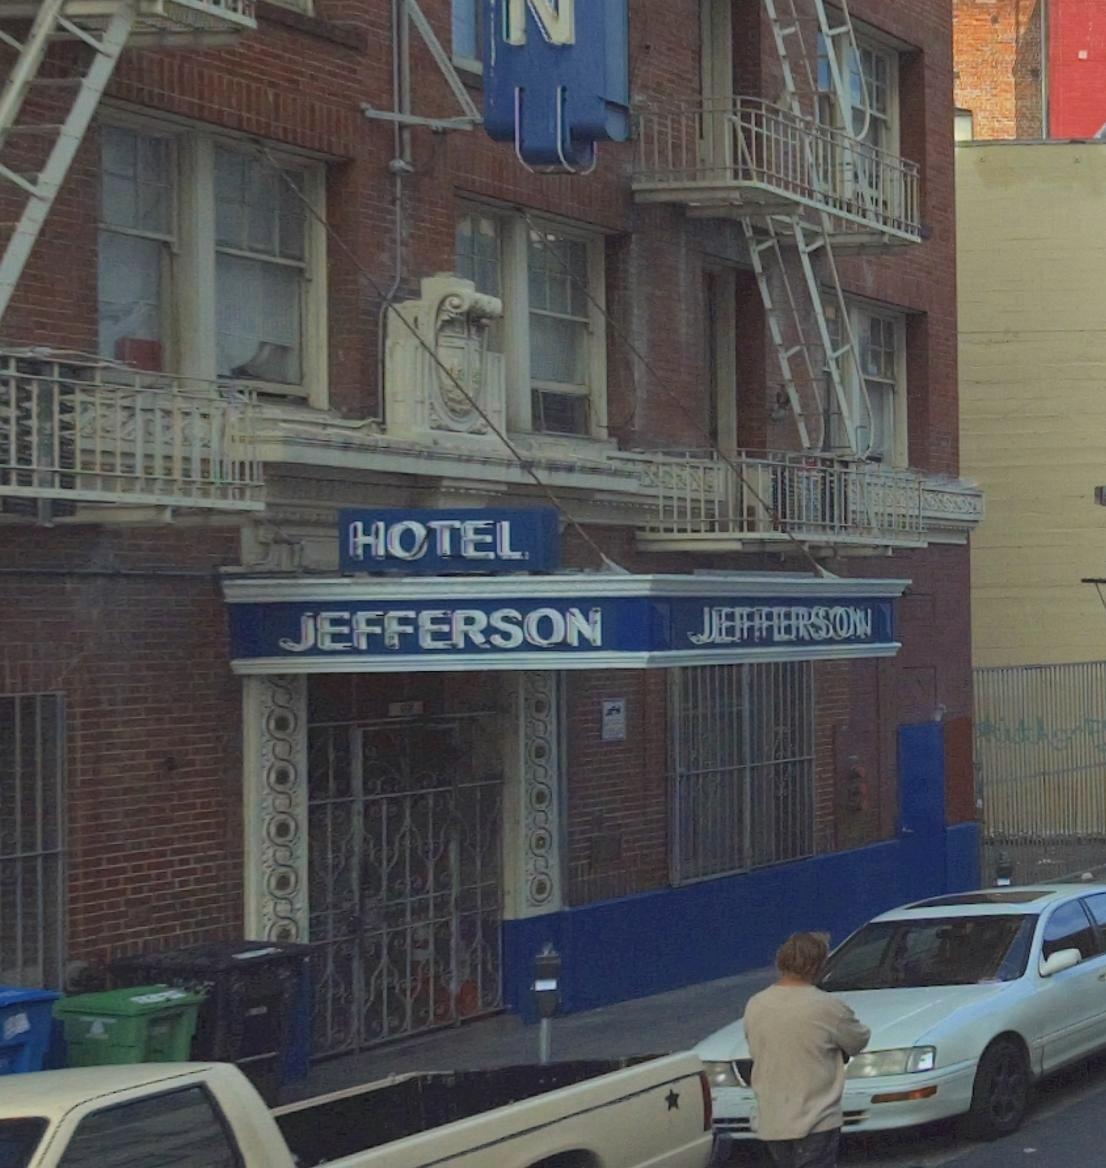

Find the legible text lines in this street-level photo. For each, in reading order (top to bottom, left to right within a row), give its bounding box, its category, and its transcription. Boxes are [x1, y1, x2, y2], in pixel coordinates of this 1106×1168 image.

[347, 517, 533, 563] BusinessName: HOTEL
[273, 603, 606, 657] BusinessName: JEFFERSON
[689, 602, 874, 648] BusinessName: JEFFERSON